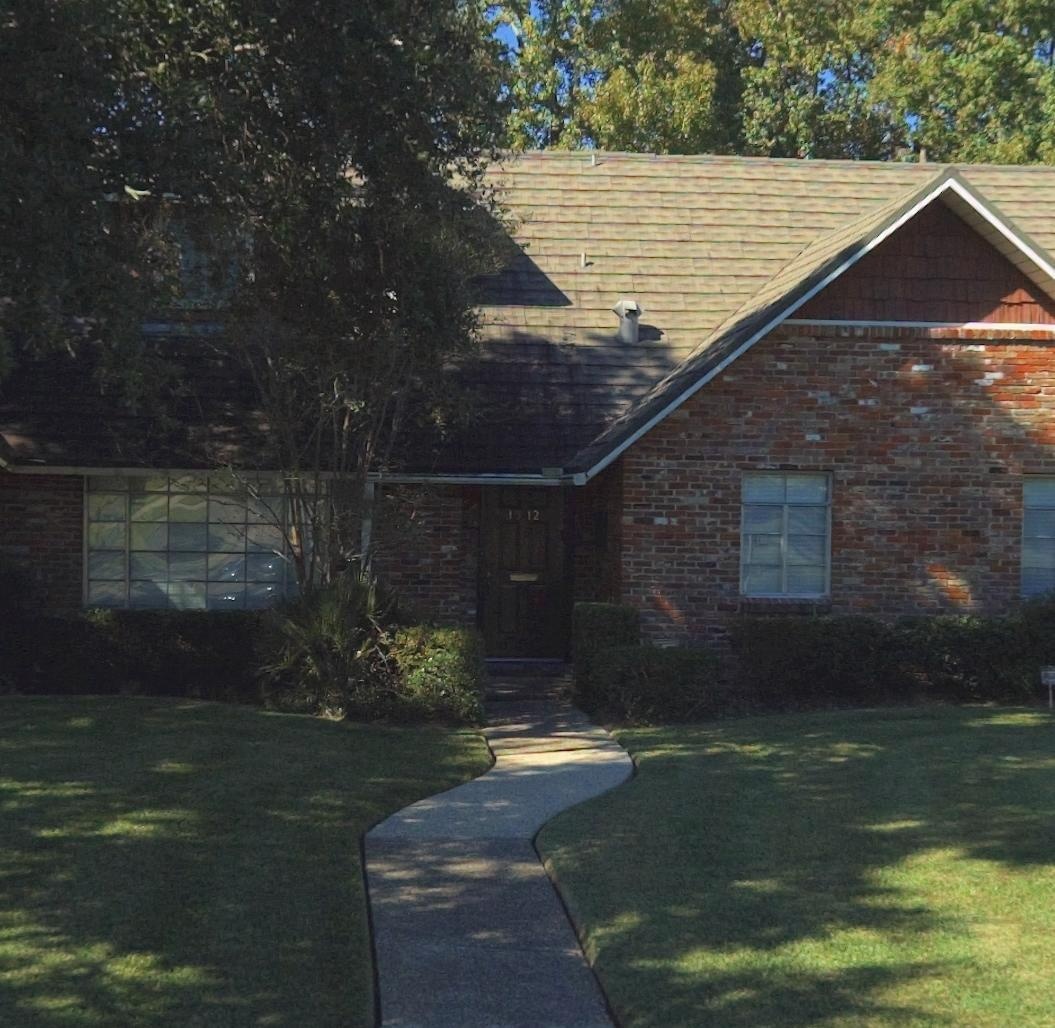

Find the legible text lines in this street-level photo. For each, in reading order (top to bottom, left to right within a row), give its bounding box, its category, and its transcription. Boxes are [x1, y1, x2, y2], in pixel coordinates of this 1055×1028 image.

[507, 508, 541, 522] StreetNumber: 1312